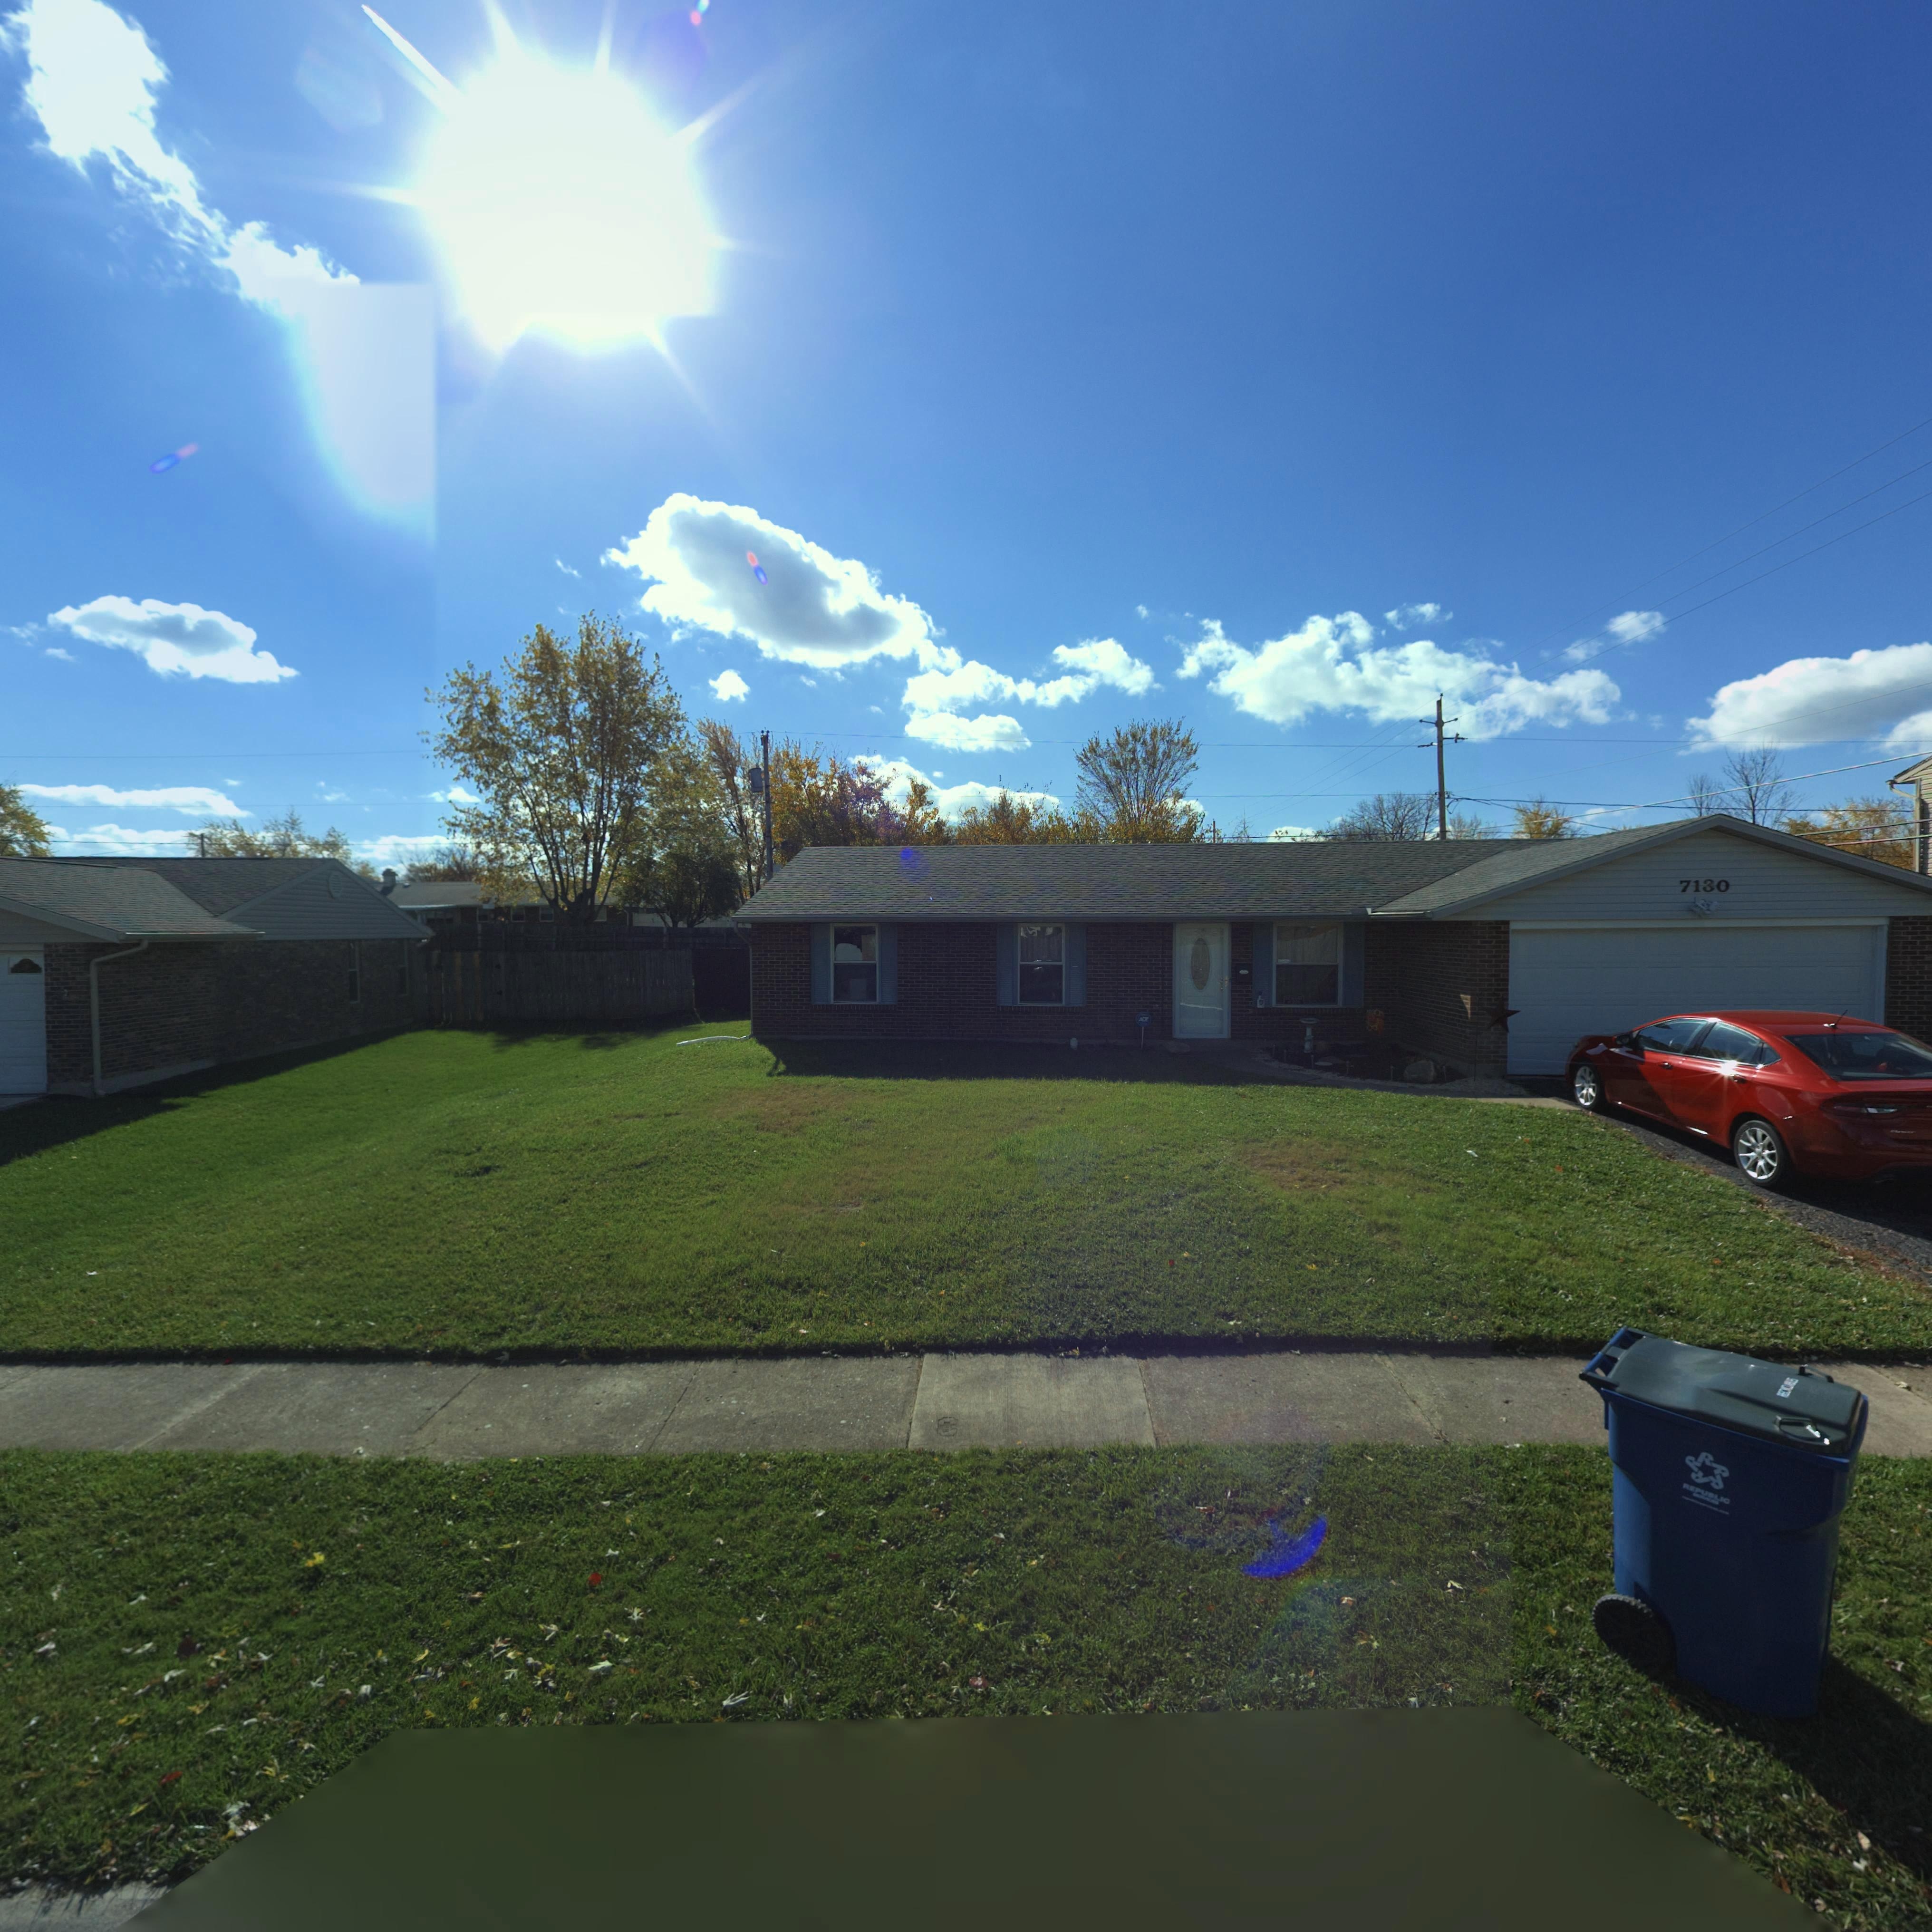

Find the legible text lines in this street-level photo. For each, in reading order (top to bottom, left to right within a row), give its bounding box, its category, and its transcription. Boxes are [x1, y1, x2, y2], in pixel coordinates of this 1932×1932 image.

[1678, 878, 1731, 894] StreetNumber: 7130